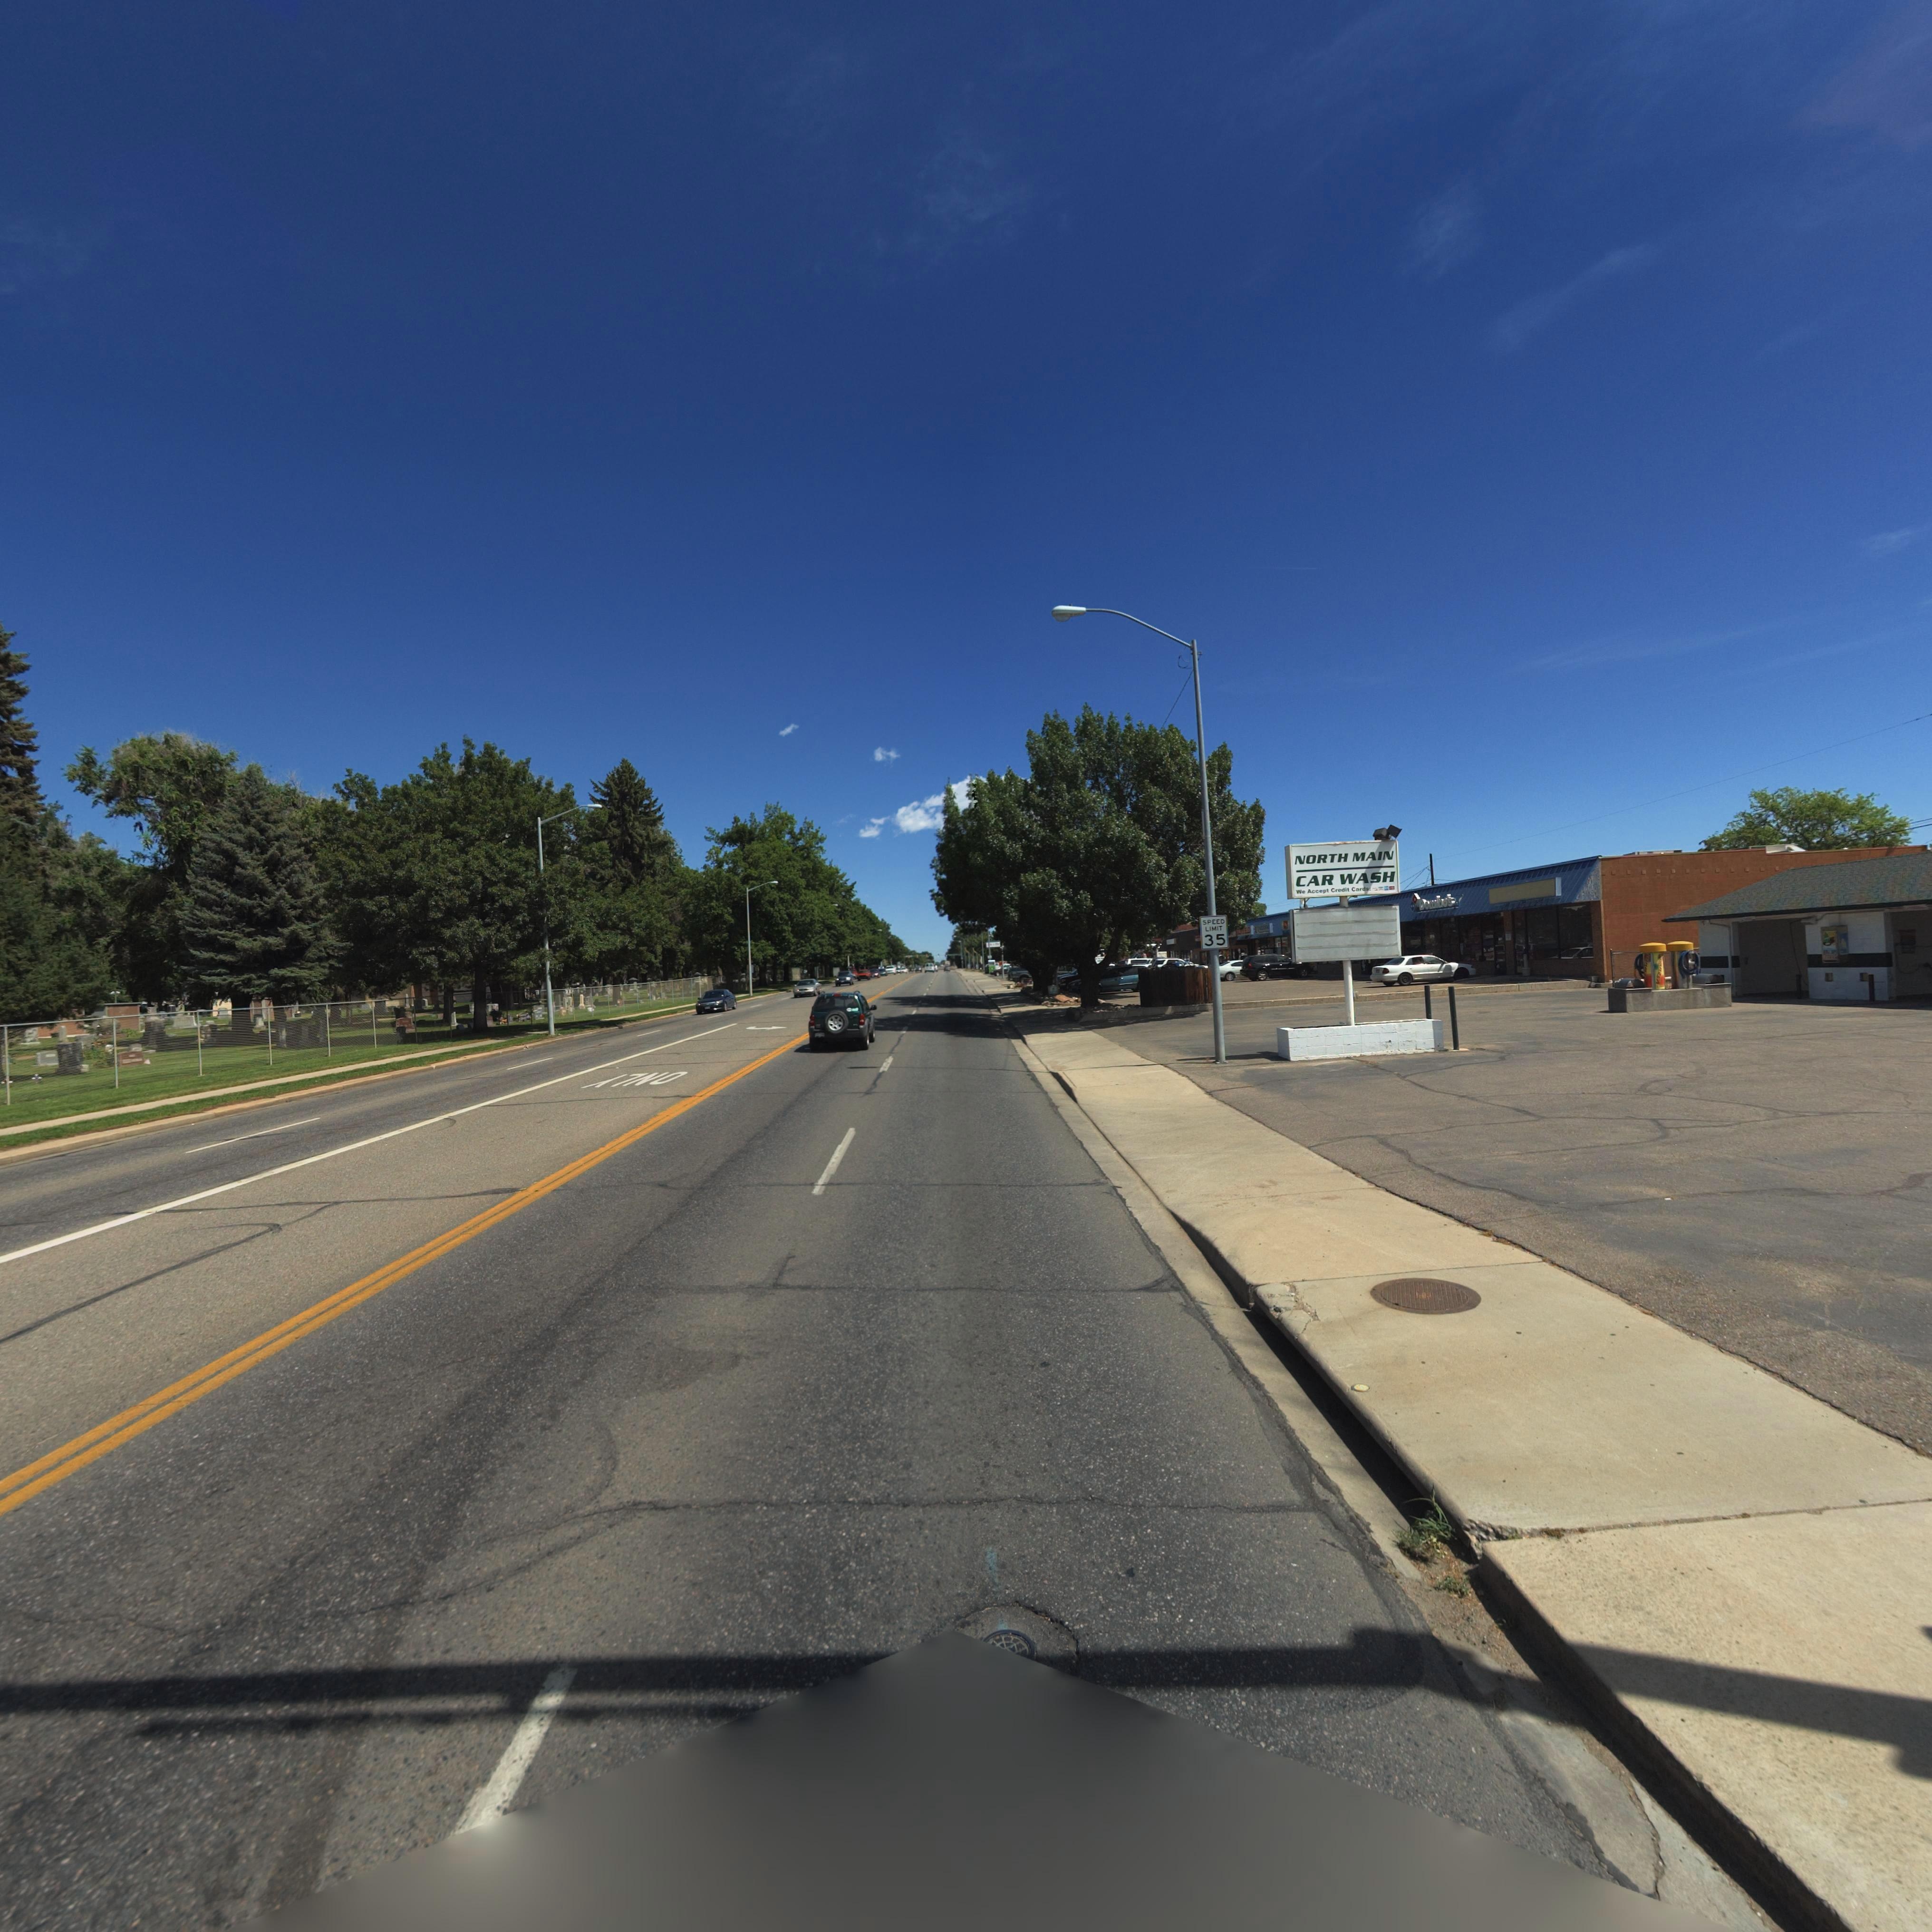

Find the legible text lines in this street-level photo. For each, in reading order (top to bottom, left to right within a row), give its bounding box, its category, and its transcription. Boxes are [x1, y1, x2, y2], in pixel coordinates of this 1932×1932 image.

[1294, 850, 1394, 865] BusinessName: NORTH MAIN
[1296, 870, 1396, 887] BusinessName: CAR WASH
[1418, 893, 1455, 911] BusinessName: Domino's